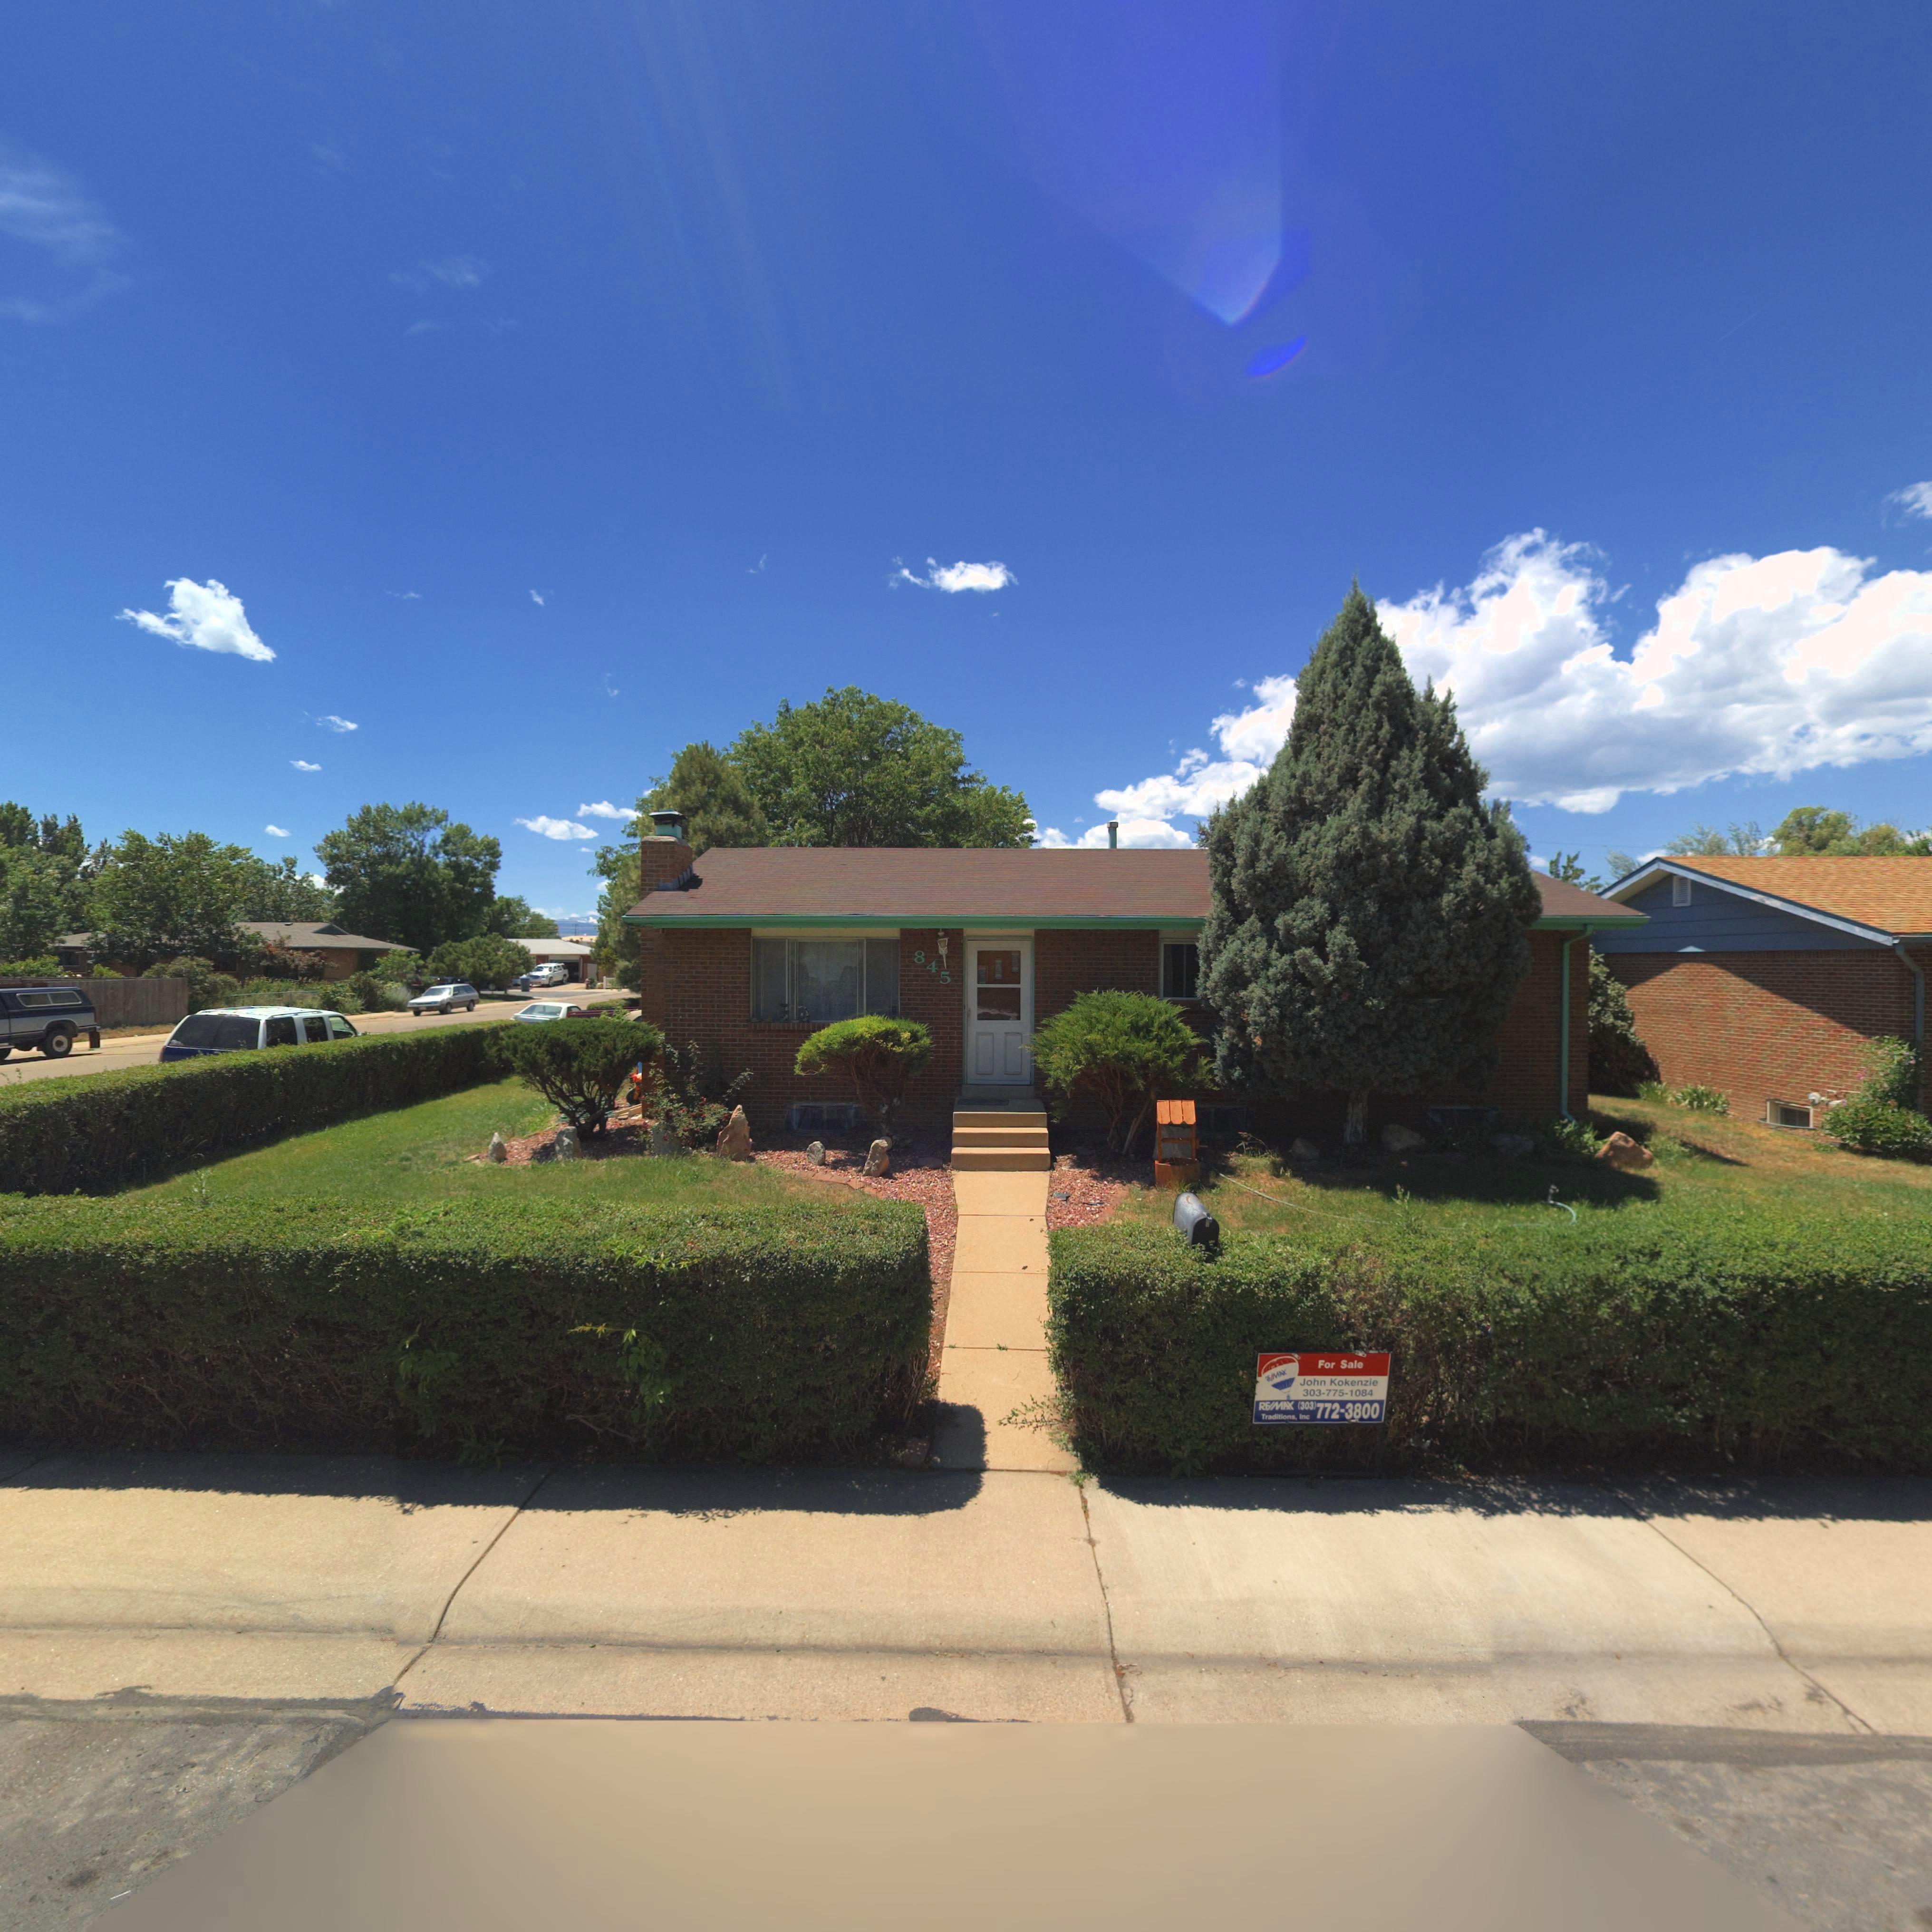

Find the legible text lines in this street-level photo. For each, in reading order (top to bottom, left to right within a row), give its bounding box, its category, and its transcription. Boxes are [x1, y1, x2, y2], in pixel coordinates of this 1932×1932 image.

[913, 949, 952, 985] StreetNumber: 845